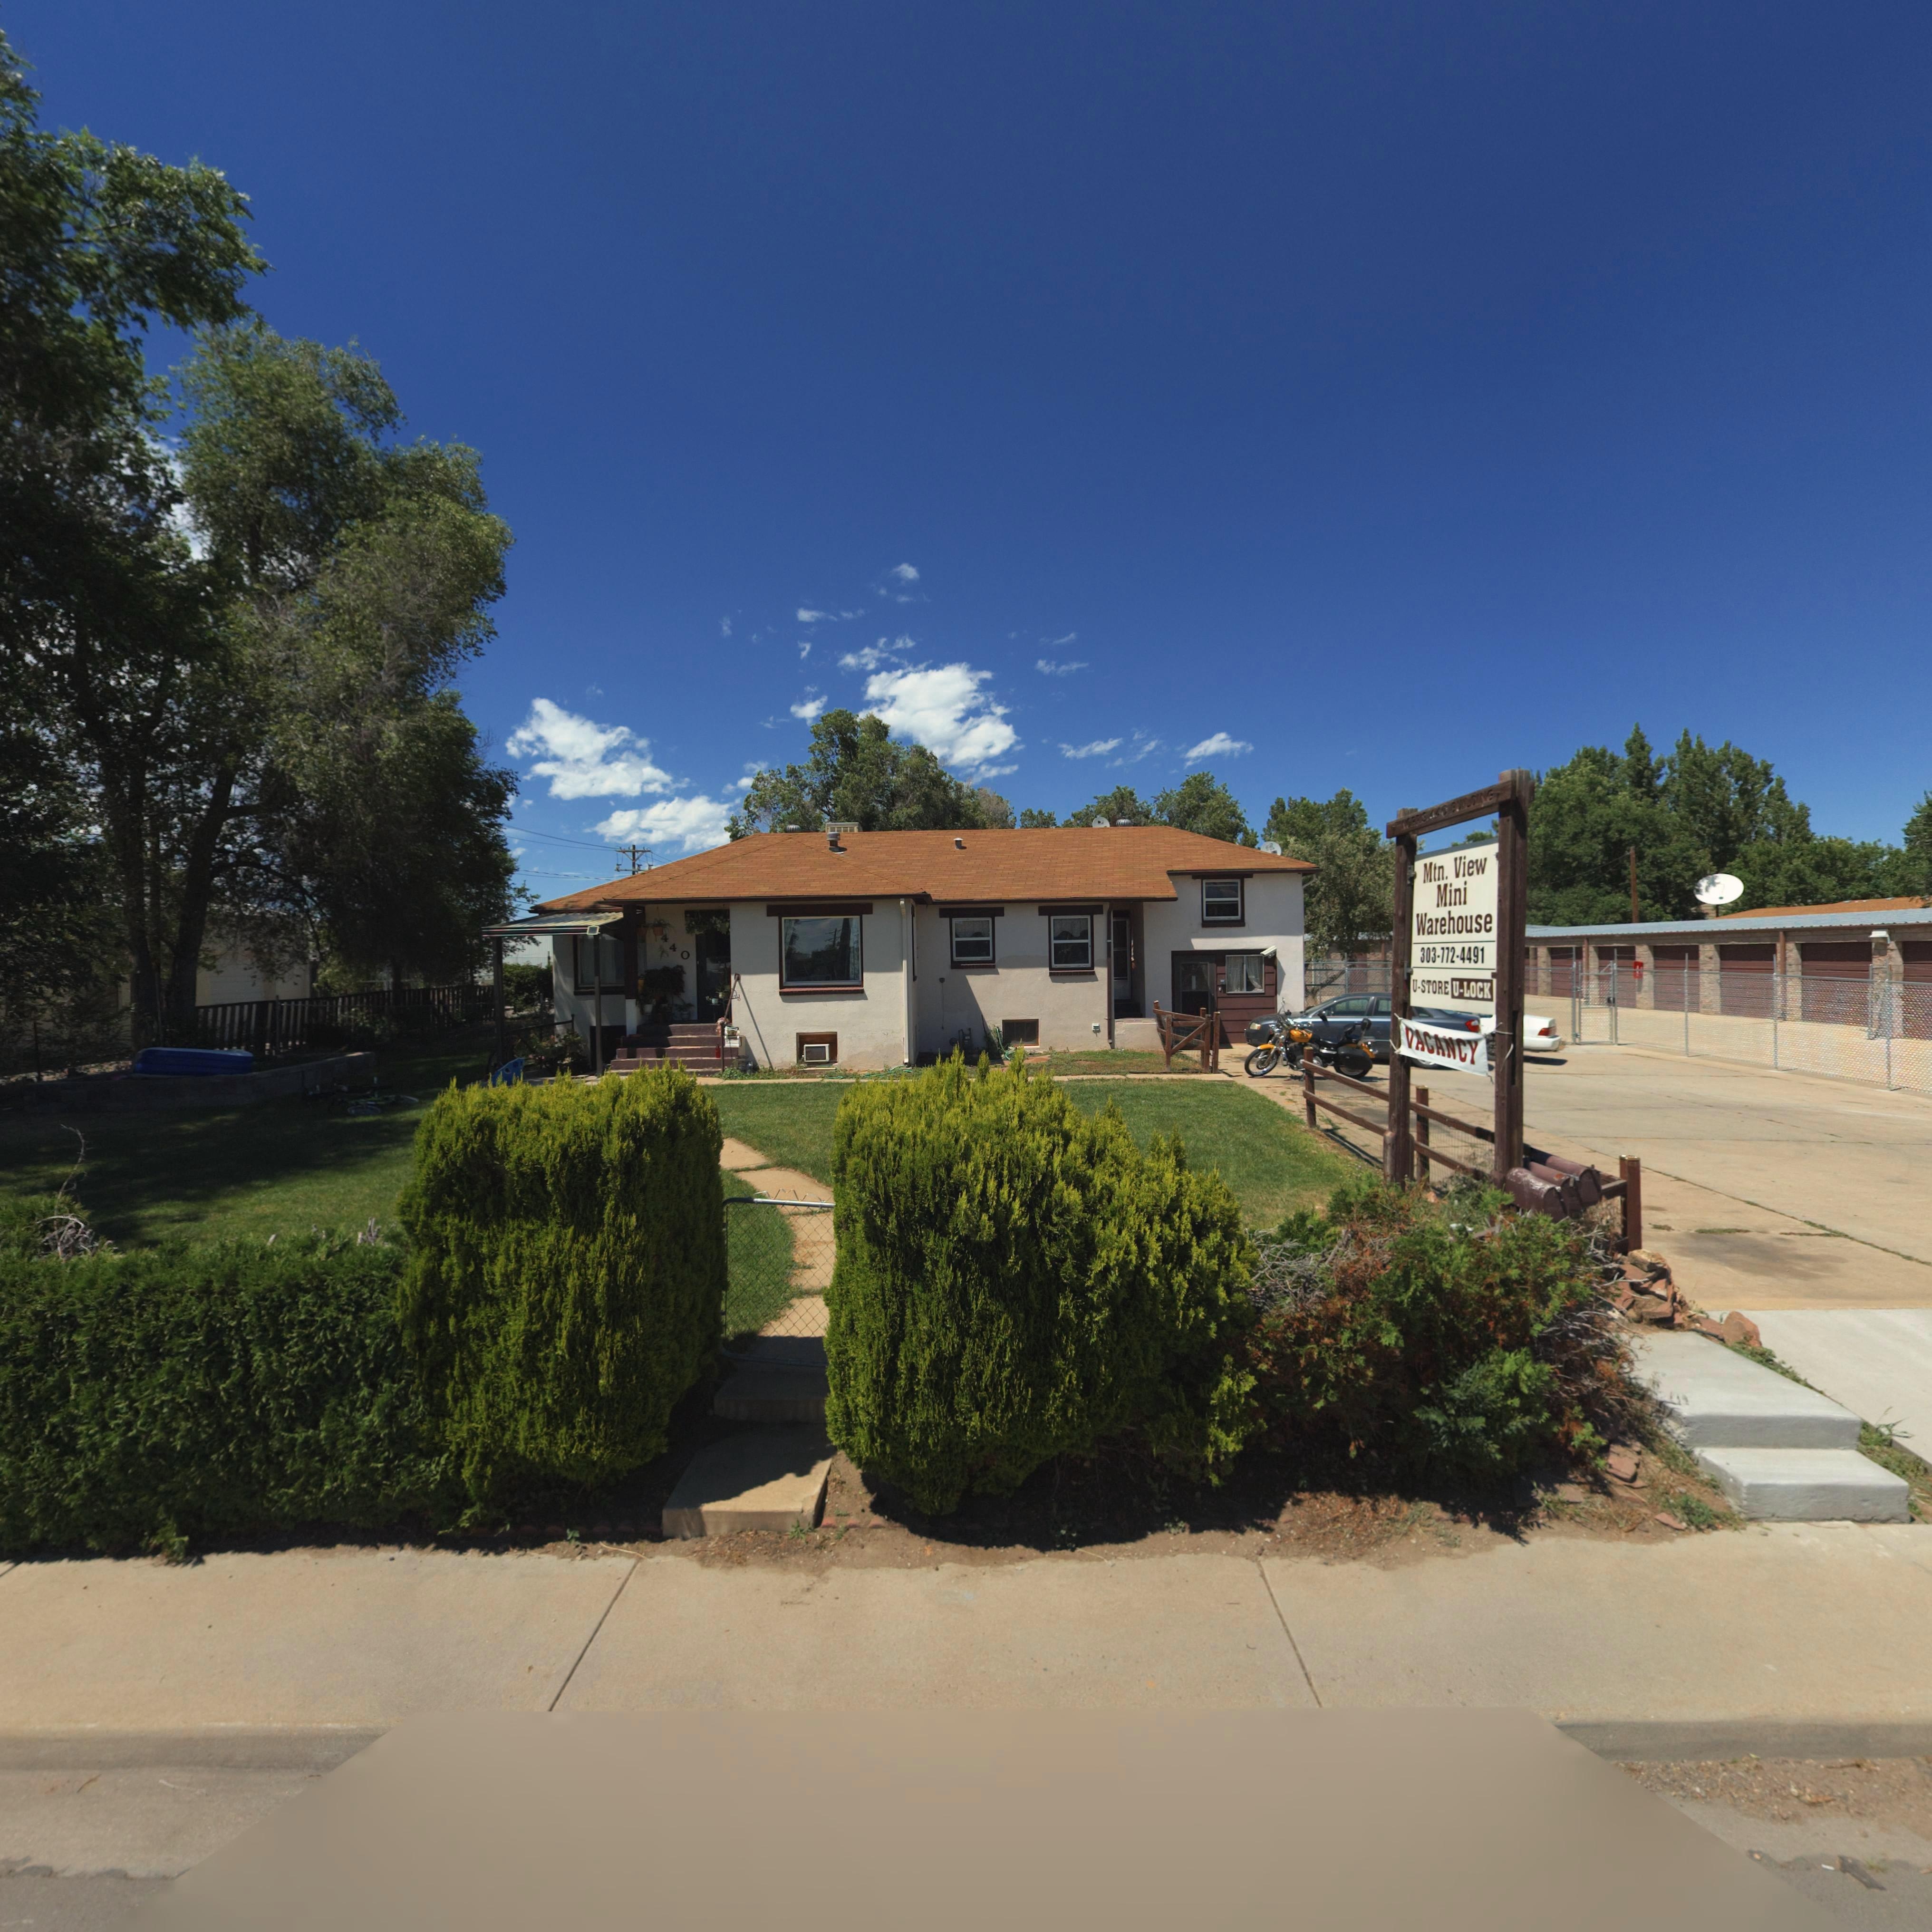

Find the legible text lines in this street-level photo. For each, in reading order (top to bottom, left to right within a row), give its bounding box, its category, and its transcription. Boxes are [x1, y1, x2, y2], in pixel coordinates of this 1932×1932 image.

[1428, 803, 1449, 821] StreetNumber: 440
[1422, 854, 1488, 884] BusinessName: Mtn. View
[1435, 879, 1468, 908] BusinessName: Mini
[1416, 909, 1492, 936] BusinessName: Warehouse
[659, 932, 690, 960] StreetNumber: 440